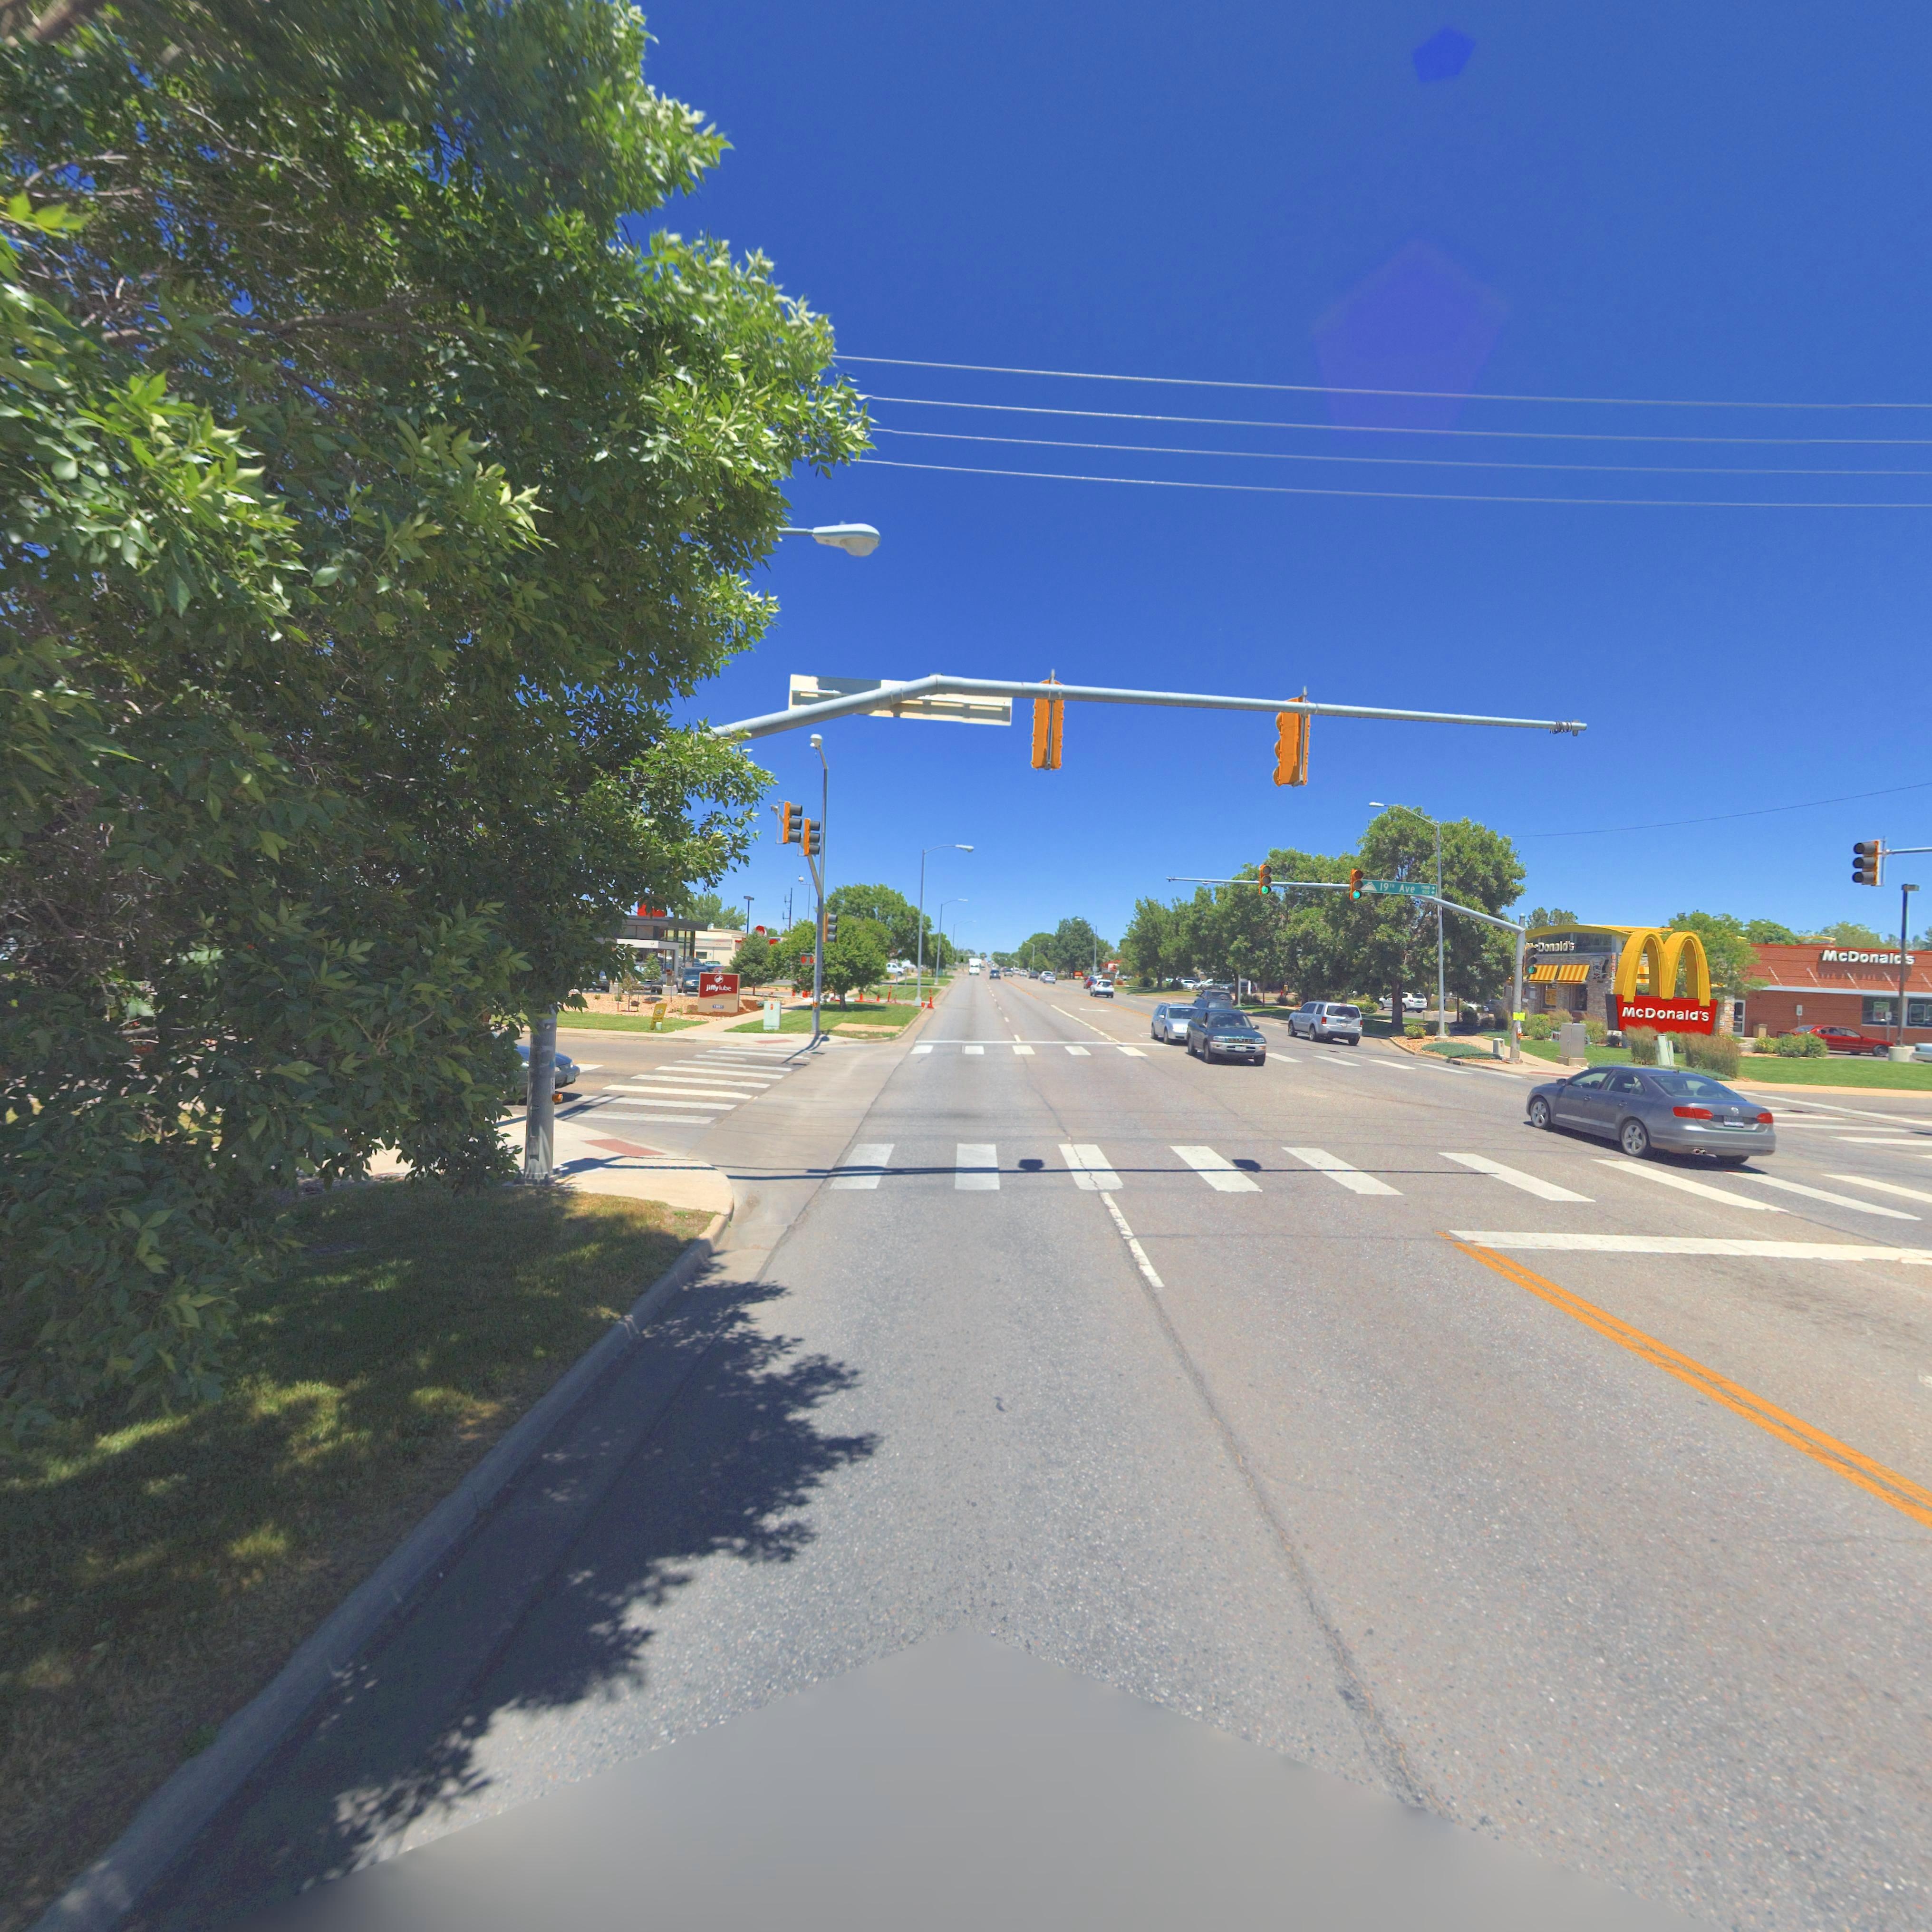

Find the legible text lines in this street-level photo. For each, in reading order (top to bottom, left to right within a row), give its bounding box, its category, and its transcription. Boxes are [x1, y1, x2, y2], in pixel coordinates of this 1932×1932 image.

[1380, 882, 1415, 893] StreetName: 19th Ave
[1421, 885, 1430, 889] StreetNumber: 1*00
[1421, 889, 1435, 894] StreetNumberRange: 500 ->
[1526, 940, 1575, 952] BusinessName: **Donald's
[1822, 949, 1915, 965] BusinessName: McDonal*'s
[705, 984, 719, 992] BusinessName: jiffy
[719, 984, 731, 991] BusinessName: lube
[1621, 1006, 1709, 1021] BusinessName: McDonald's